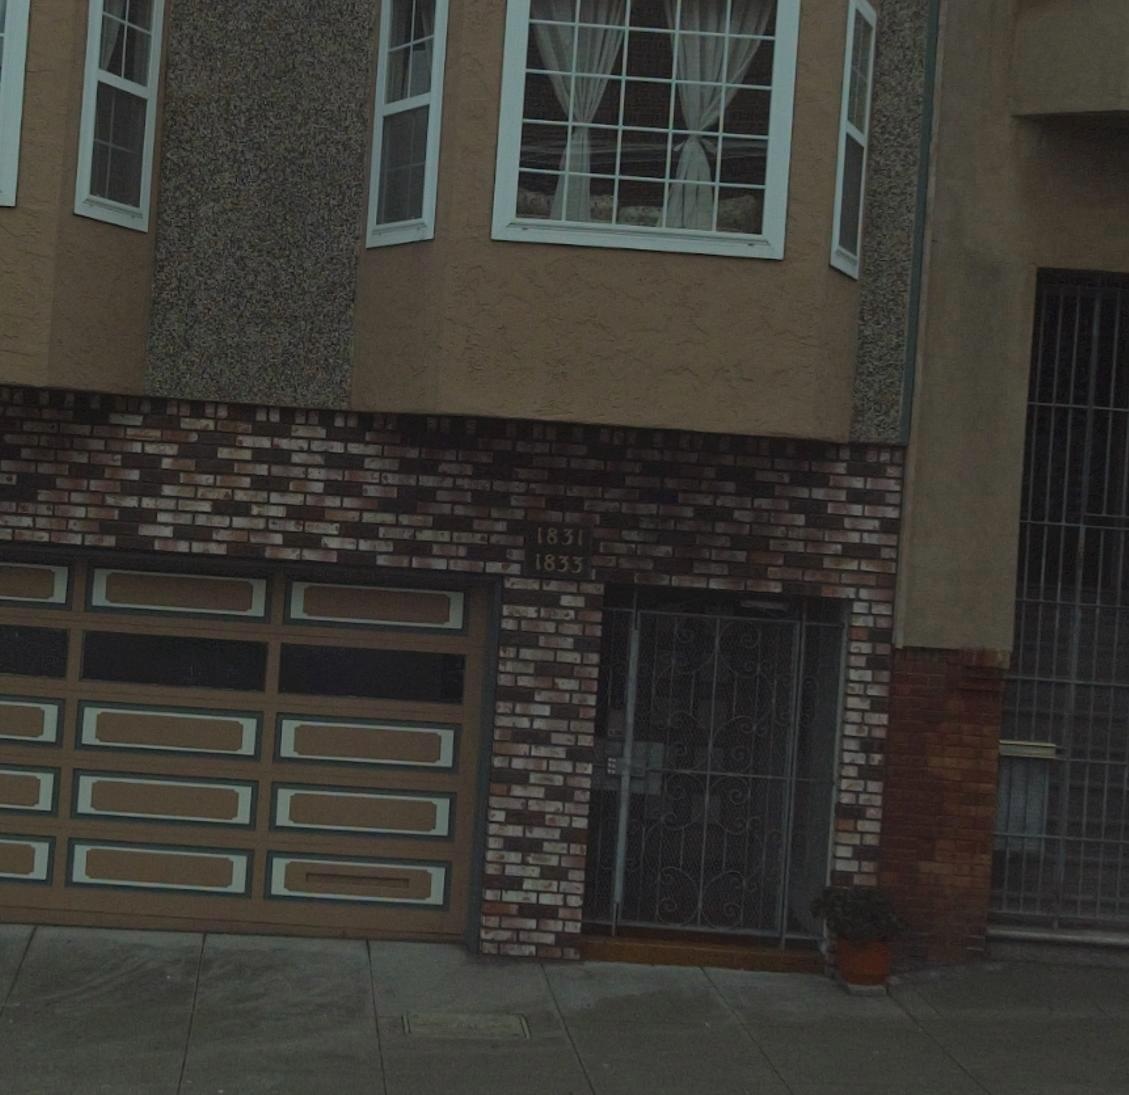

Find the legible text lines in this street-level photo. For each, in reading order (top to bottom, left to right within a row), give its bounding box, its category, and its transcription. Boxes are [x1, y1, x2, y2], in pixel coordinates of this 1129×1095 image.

[535, 524, 585, 548] StreetNumber: 1831
[534, 550, 583, 575] StreetNumber: 1833